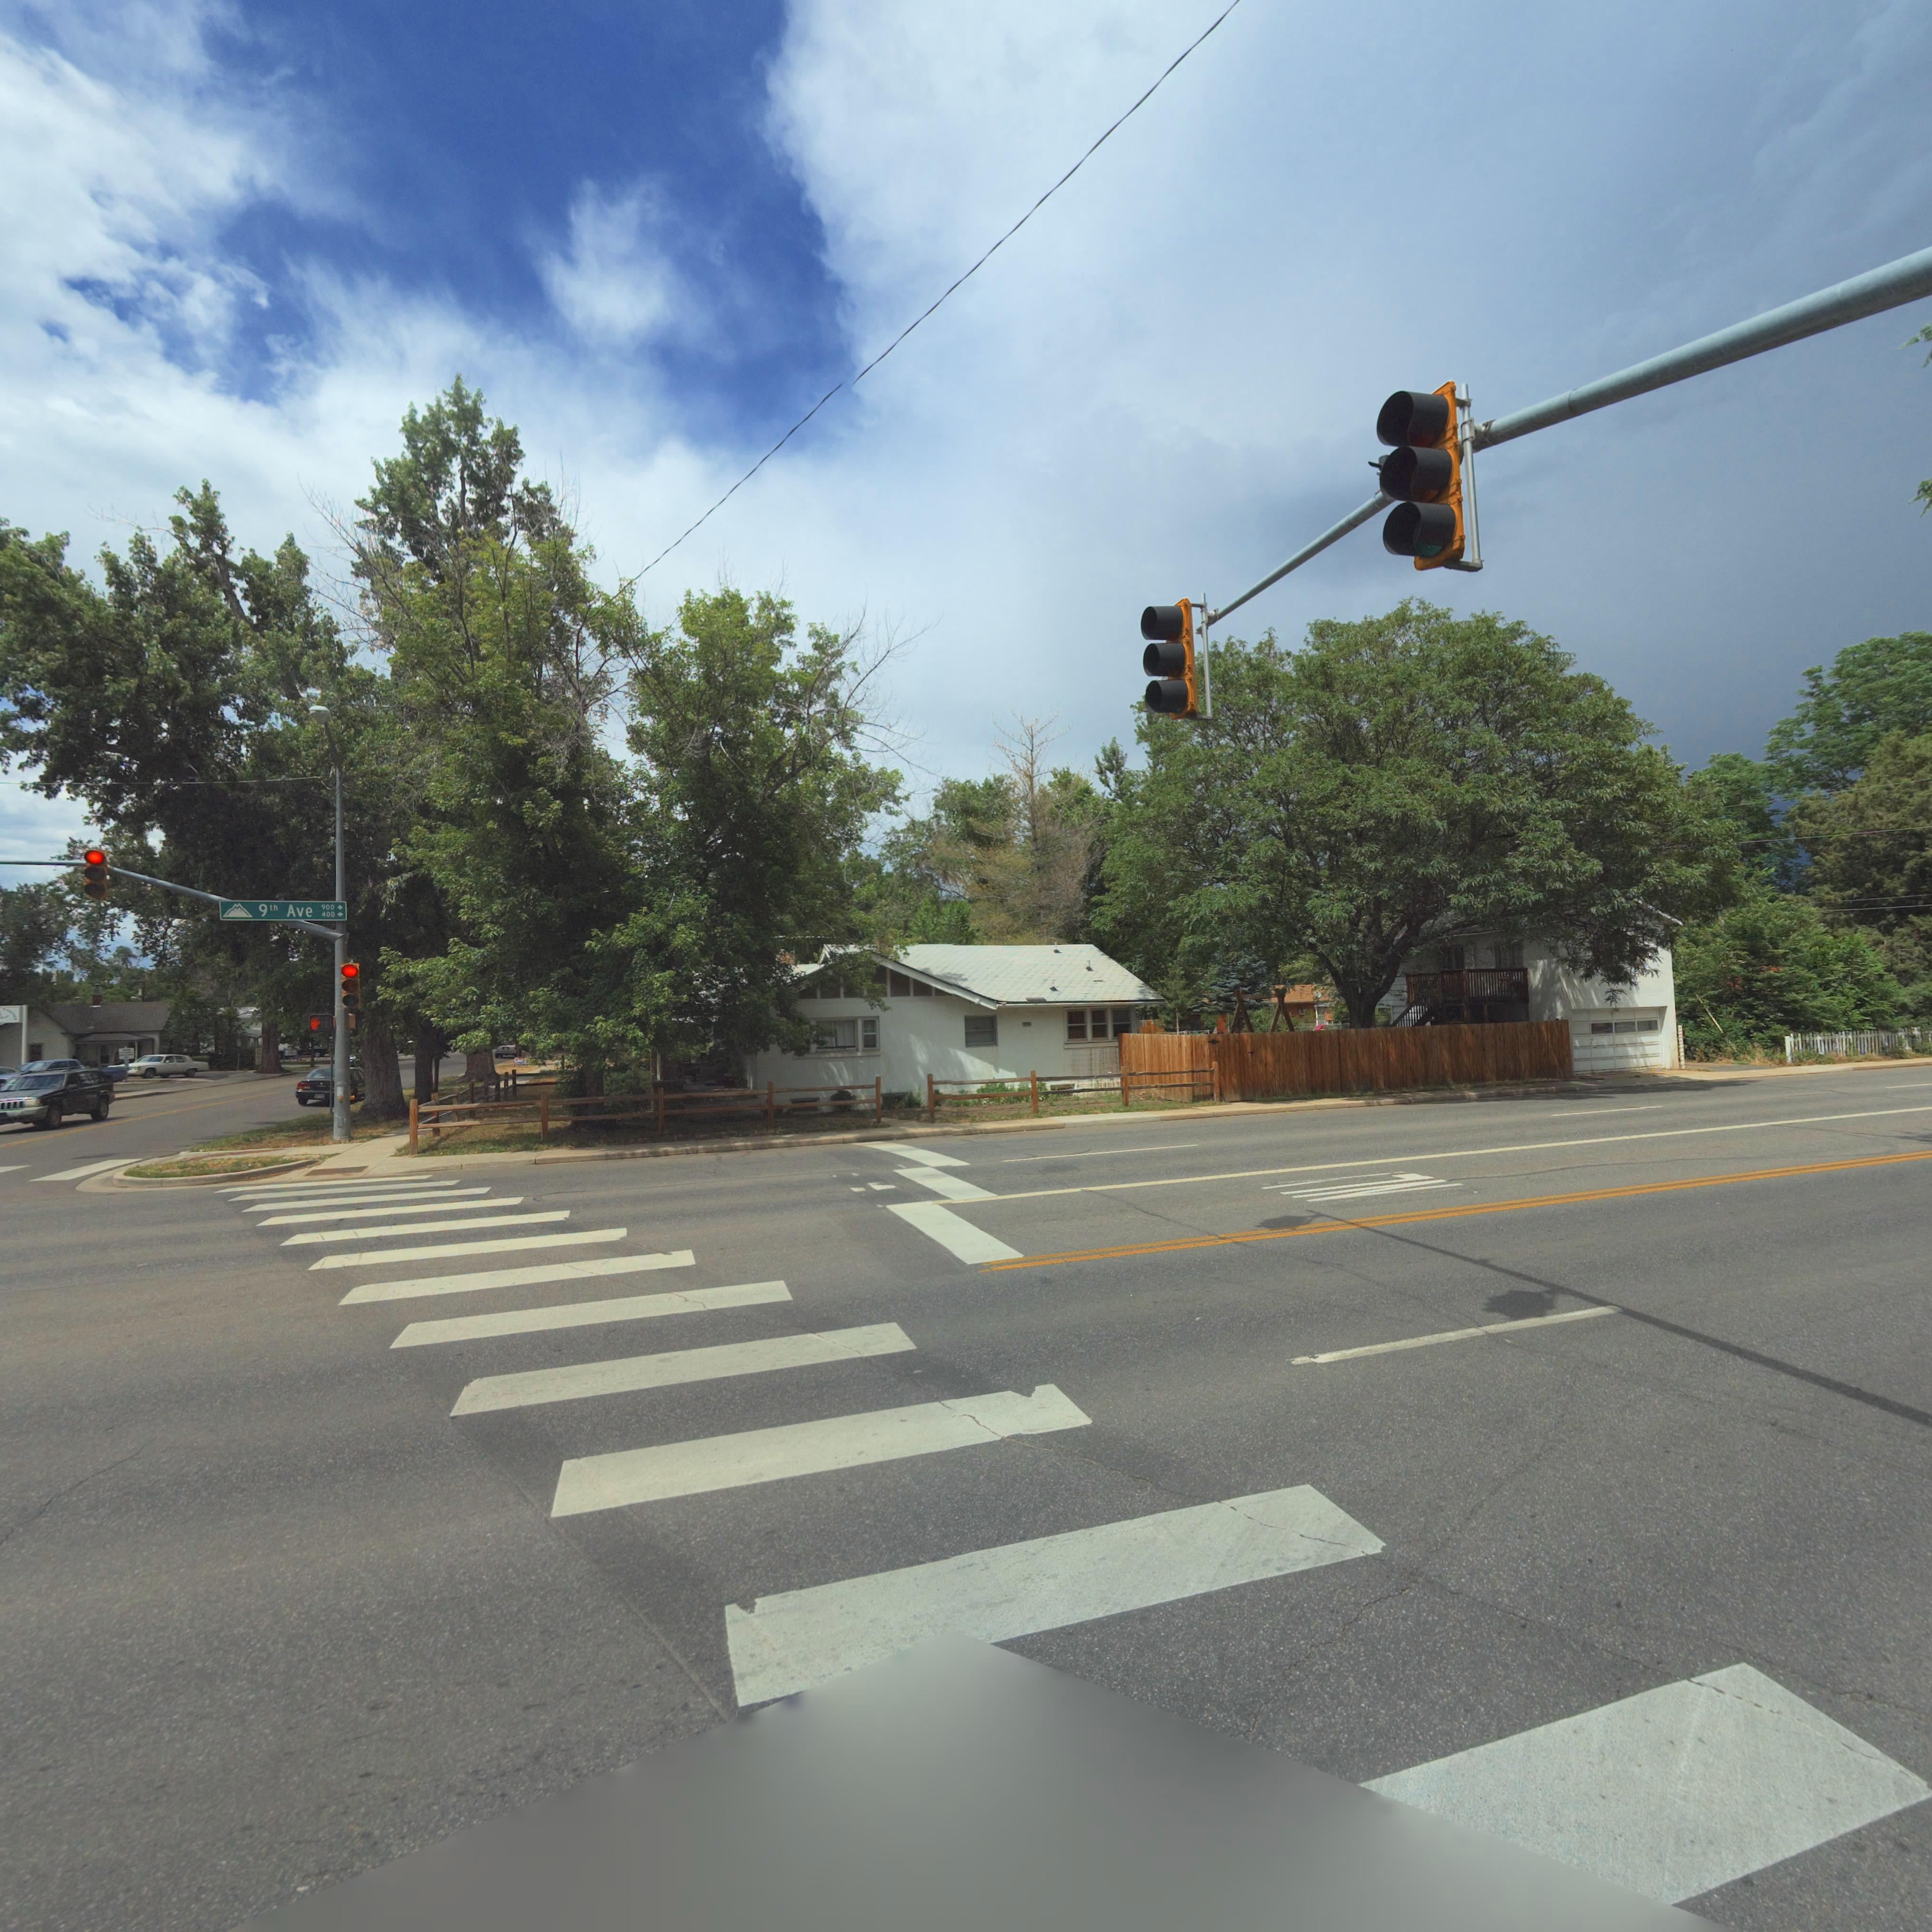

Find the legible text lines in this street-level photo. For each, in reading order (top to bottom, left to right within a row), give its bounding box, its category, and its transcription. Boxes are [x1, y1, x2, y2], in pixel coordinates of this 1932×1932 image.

[321, 904, 334, 910] StreetNumberRange: 900
[258, 903, 312, 918] StreetName: 9th Ave
[321, 911, 344, 918] StreetNumberRange: 400->